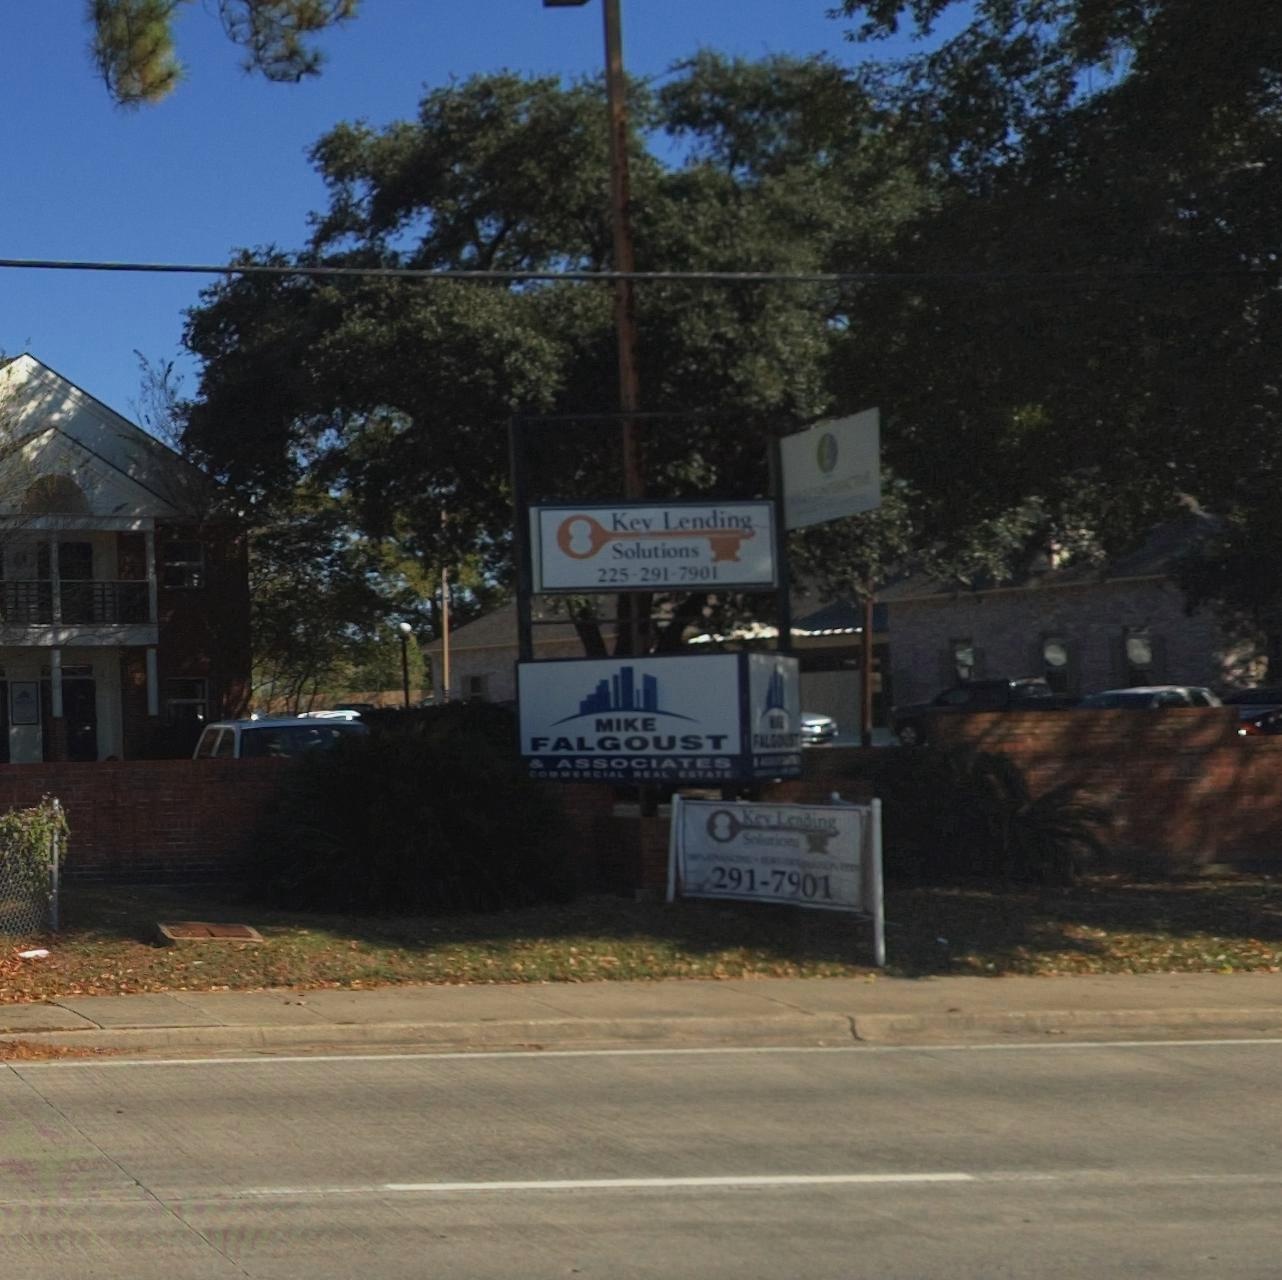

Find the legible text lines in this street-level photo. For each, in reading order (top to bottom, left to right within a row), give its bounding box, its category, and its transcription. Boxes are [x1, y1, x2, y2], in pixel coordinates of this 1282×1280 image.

[608, 507, 756, 539] BusinessName: Key Lending
[609, 538, 702, 564] BusinessName: Solutions
[594, 562, 720, 585] None: 225-291-7901
[592, 714, 659, 736] BusinessName: MIKE
[527, 731, 732, 755] BusinessName: FALGOUST
[552, 755, 734, 771] BusinessName: ASSOCIATES
[739, 805, 840, 836] BusinessName: Key Lending
[741, 829, 764, 848] BusinessName: Sol
[708, 863, 837, 902] None: 291-7901